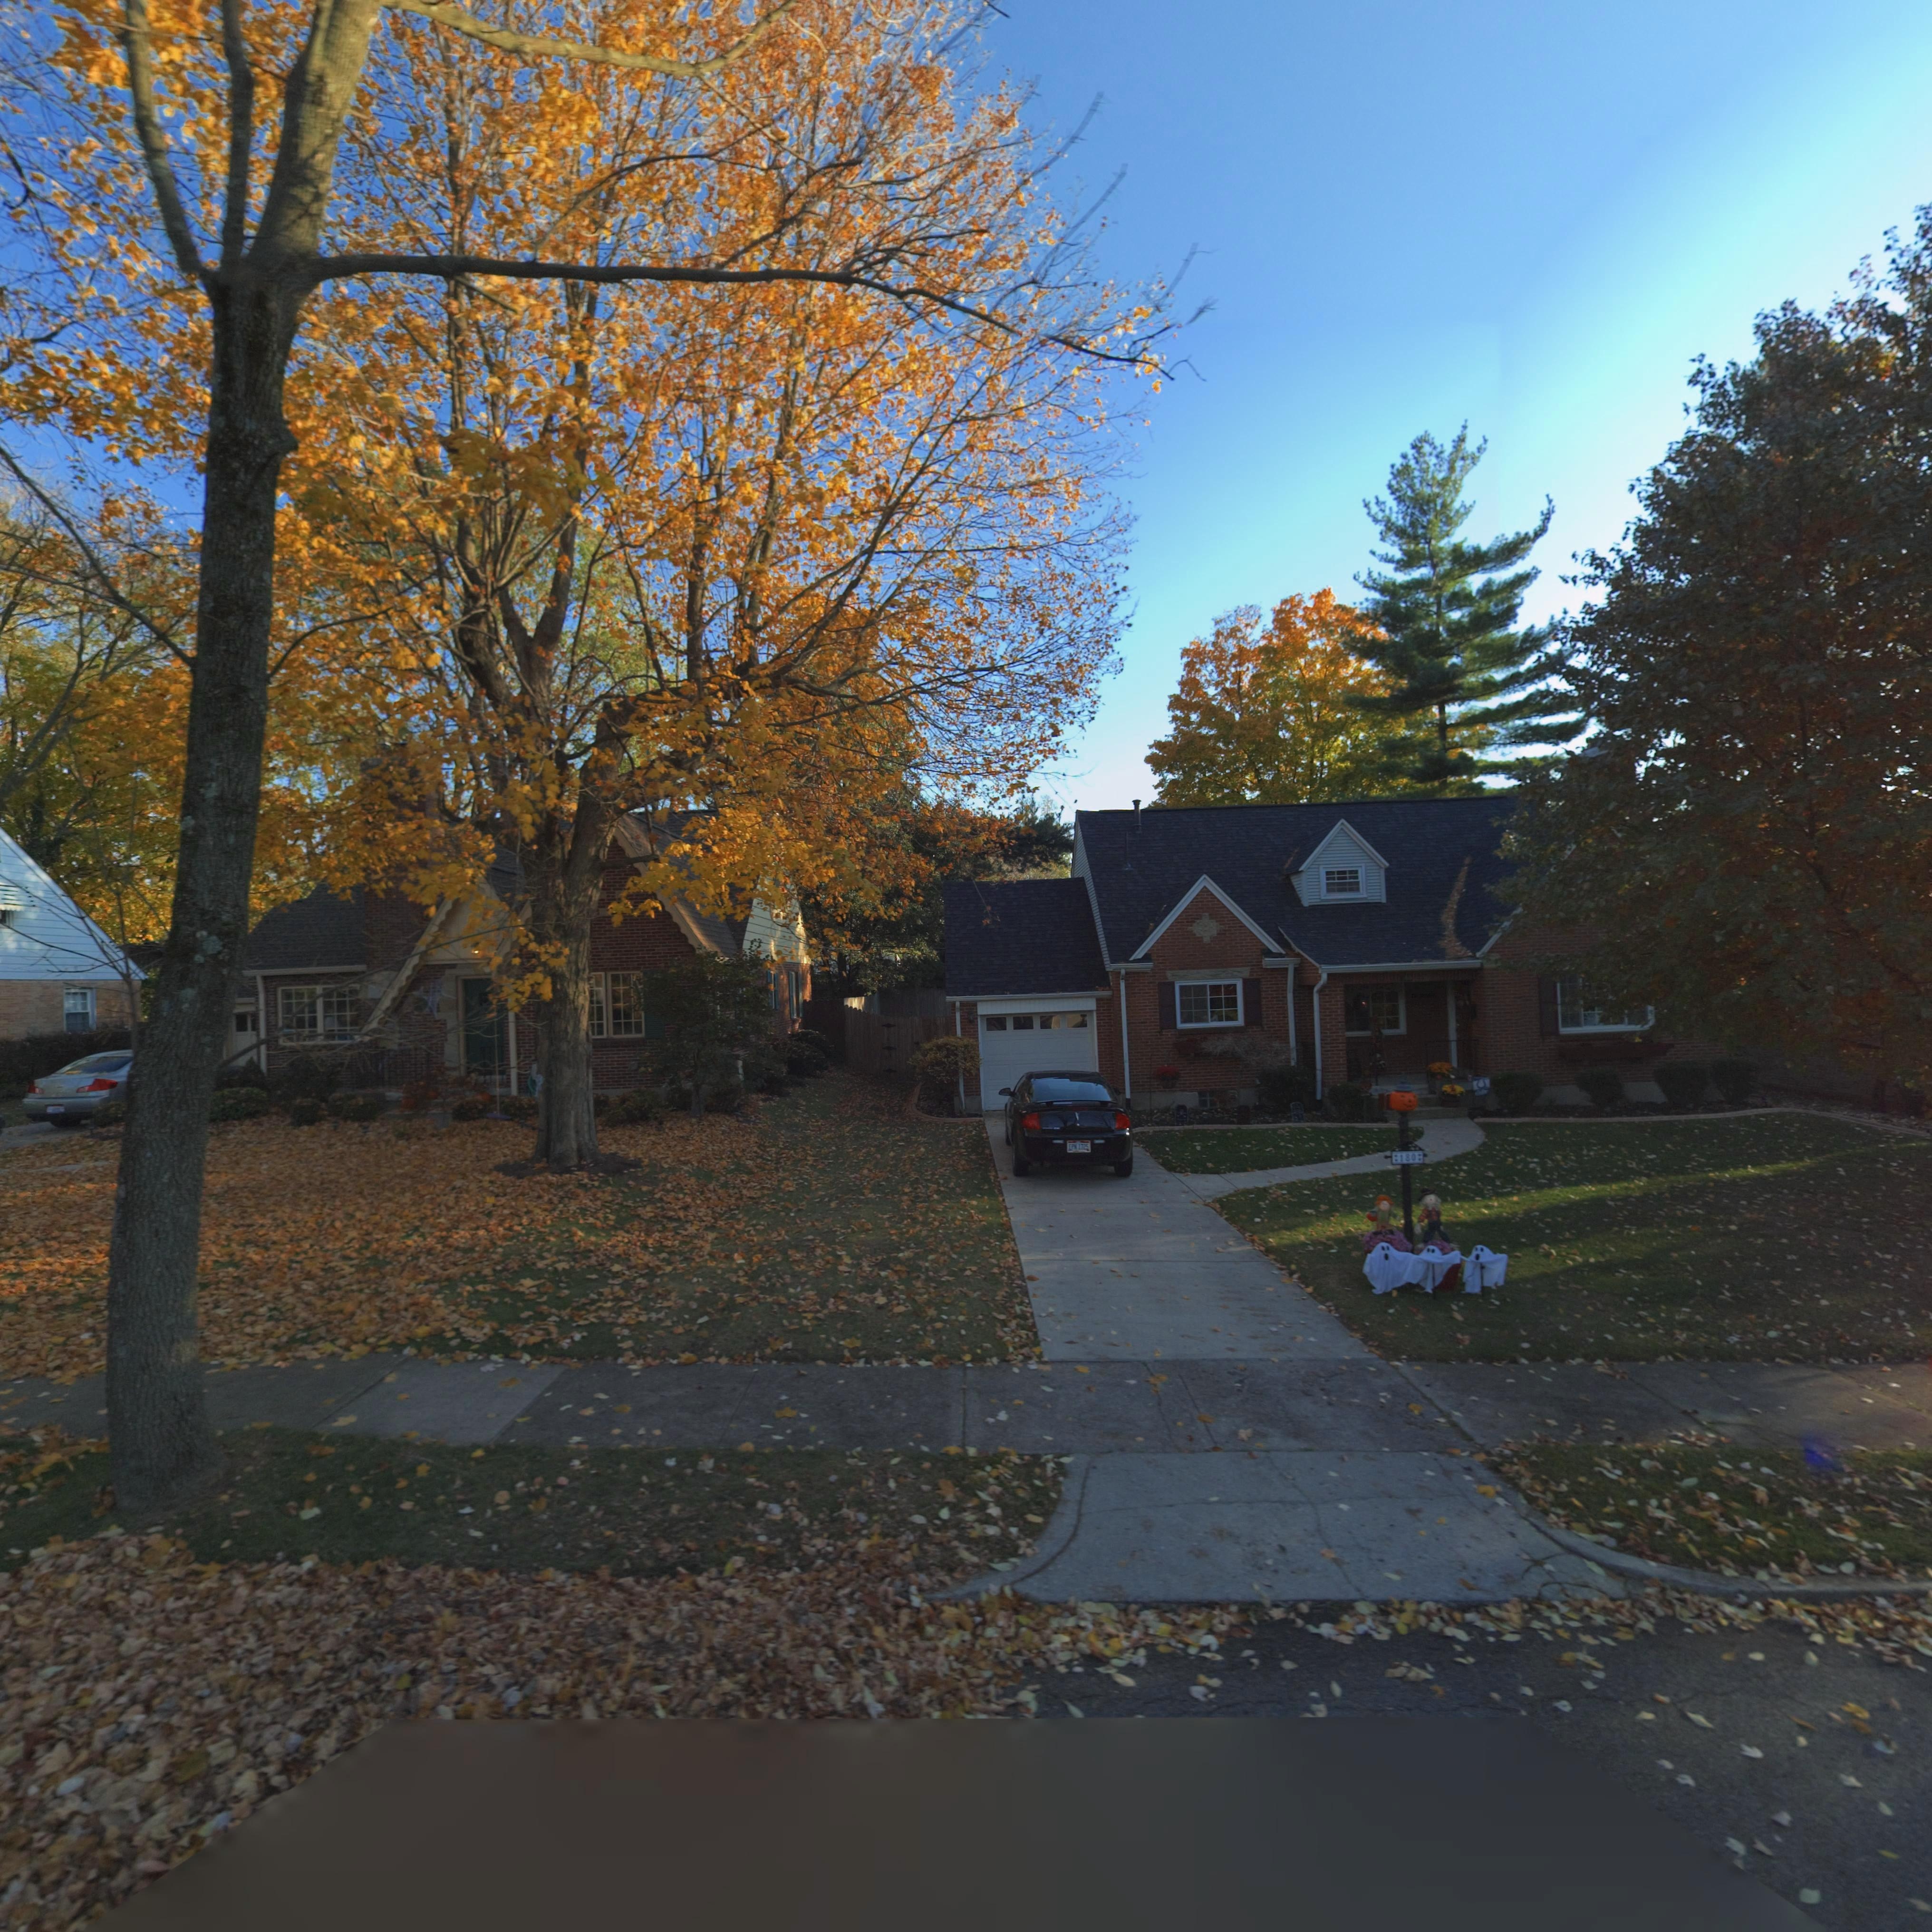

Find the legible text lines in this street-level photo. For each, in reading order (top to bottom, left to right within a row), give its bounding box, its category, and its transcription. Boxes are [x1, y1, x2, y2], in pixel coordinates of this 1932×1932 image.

[1400, 1153, 1416, 1162] StreetNumber: 180